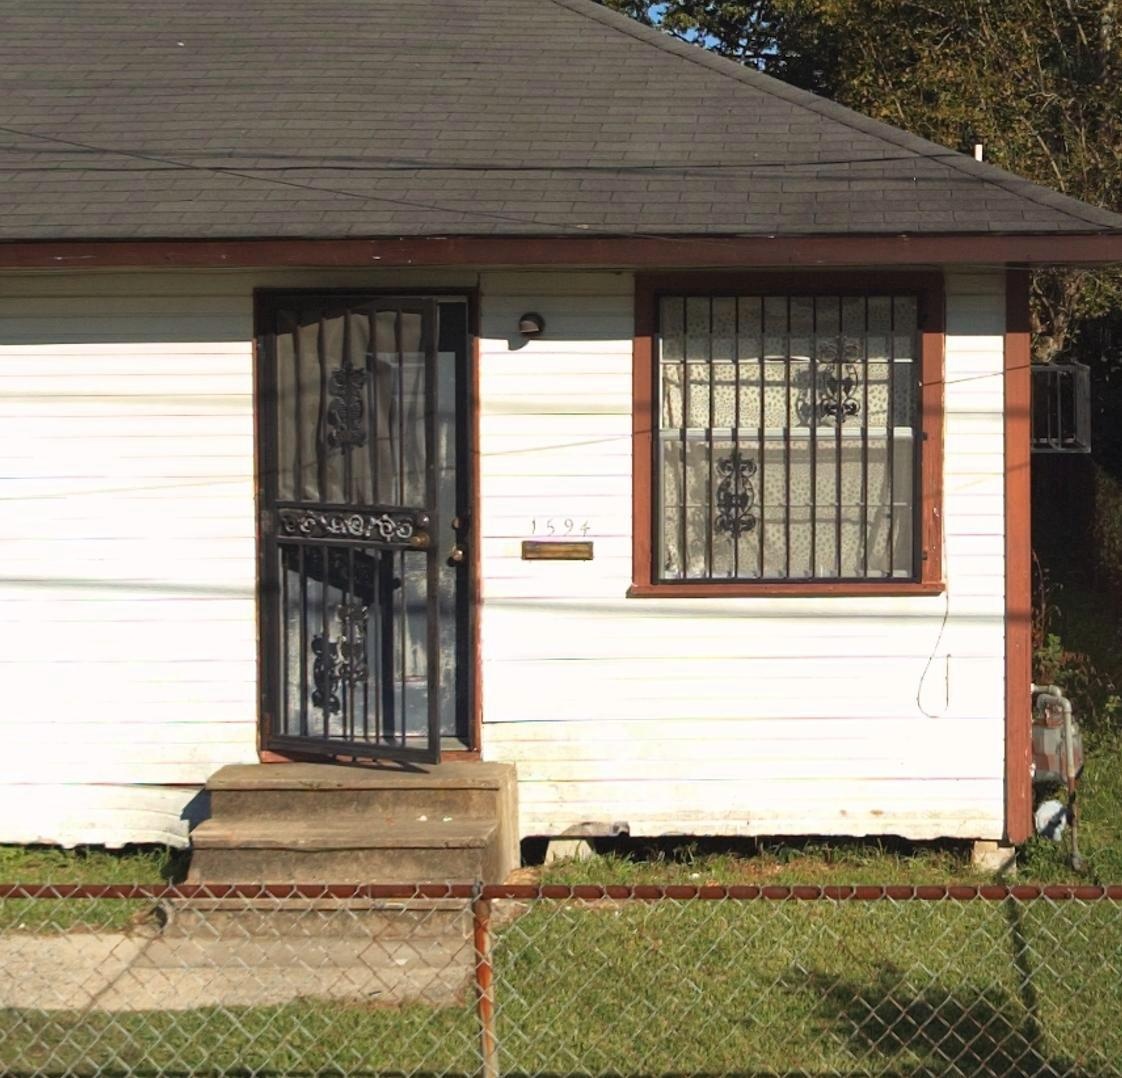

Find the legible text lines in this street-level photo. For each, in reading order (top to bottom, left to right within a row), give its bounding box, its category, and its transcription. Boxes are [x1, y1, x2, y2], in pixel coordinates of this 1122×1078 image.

[529, 515, 593, 539] StreetNumber: 1594